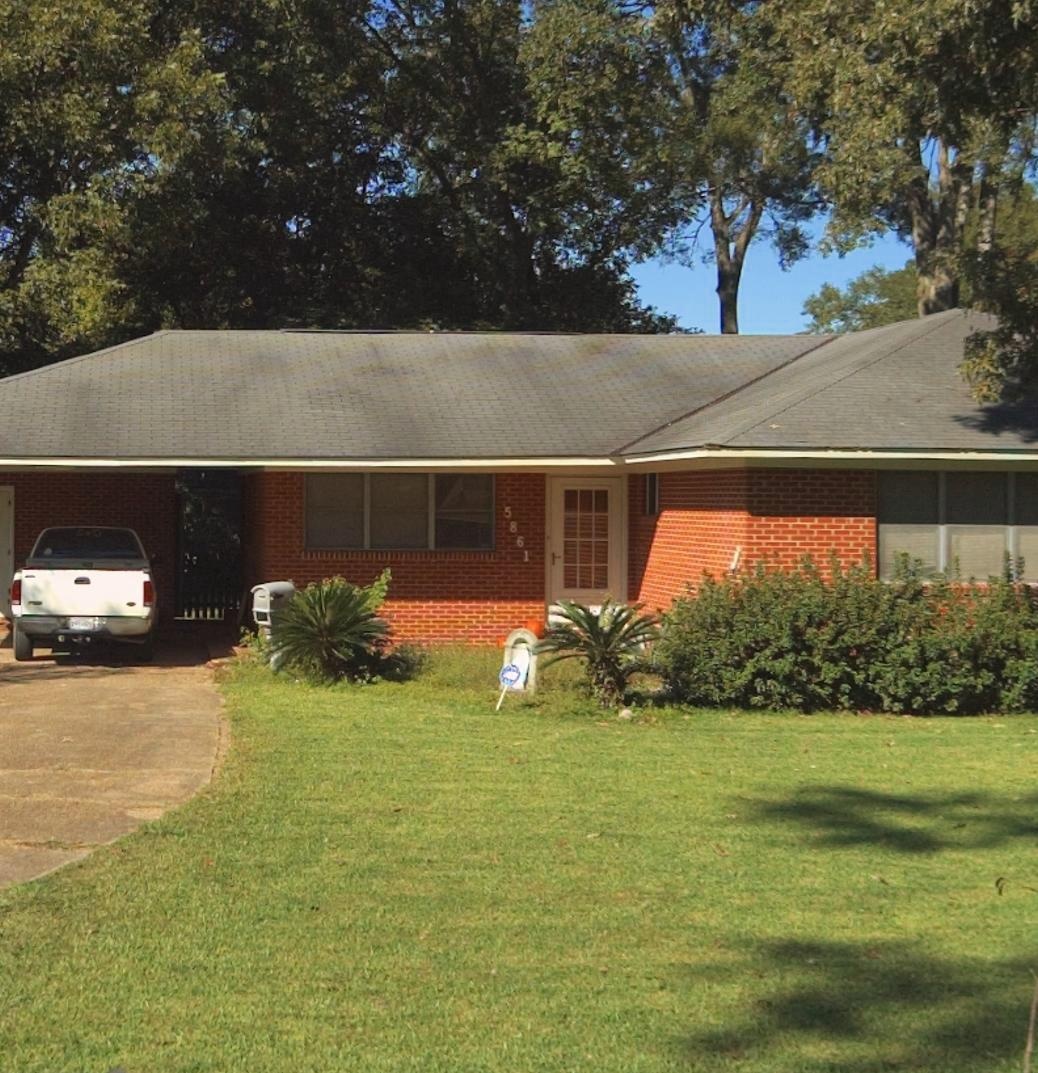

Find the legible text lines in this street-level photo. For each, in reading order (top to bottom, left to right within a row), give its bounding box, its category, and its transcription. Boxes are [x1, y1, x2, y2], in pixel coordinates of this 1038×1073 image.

[502, 505, 530, 565] StreetNumber: 5861